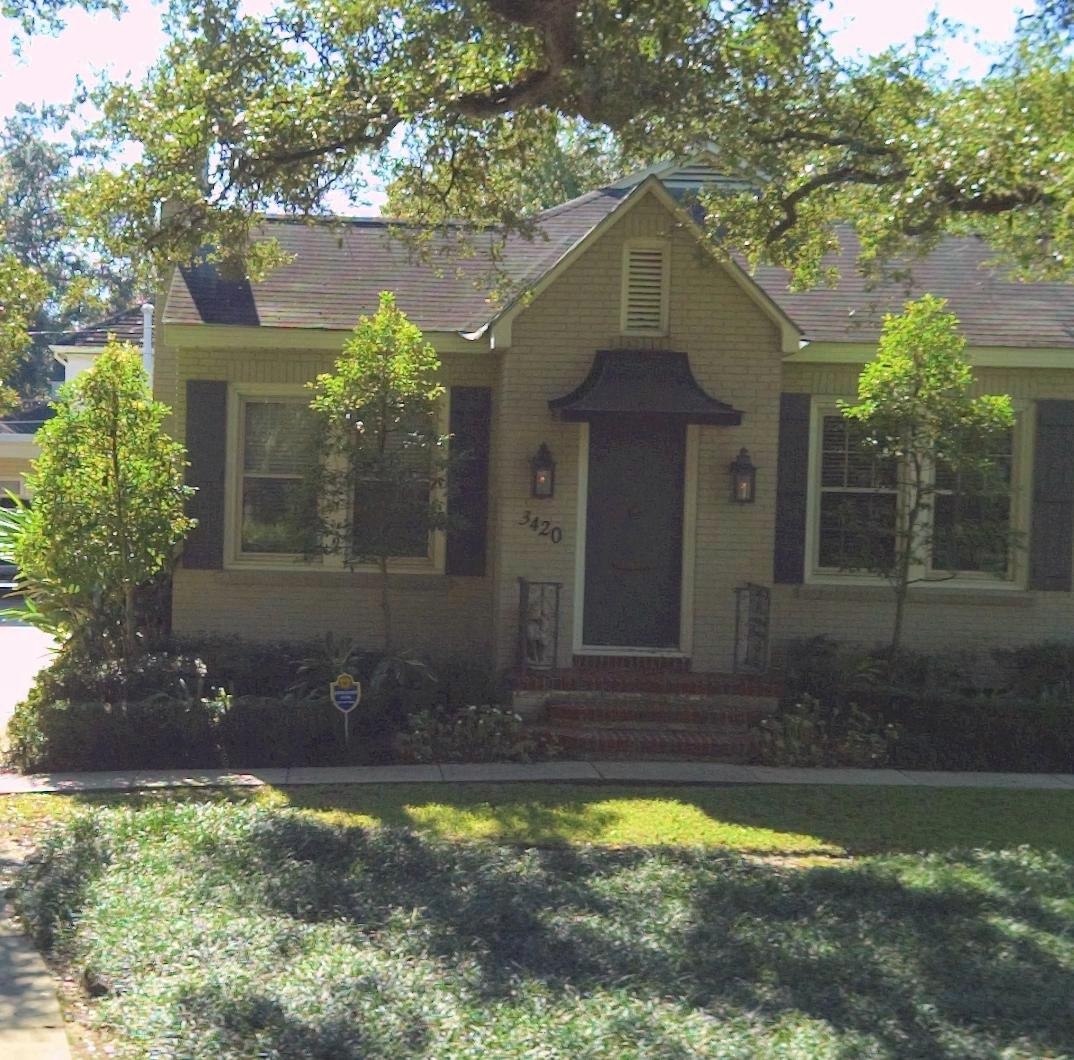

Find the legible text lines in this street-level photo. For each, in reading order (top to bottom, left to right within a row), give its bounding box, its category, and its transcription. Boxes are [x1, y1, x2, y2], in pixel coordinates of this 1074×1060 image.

[516, 508, 563, 545] StreetNumber: 3420